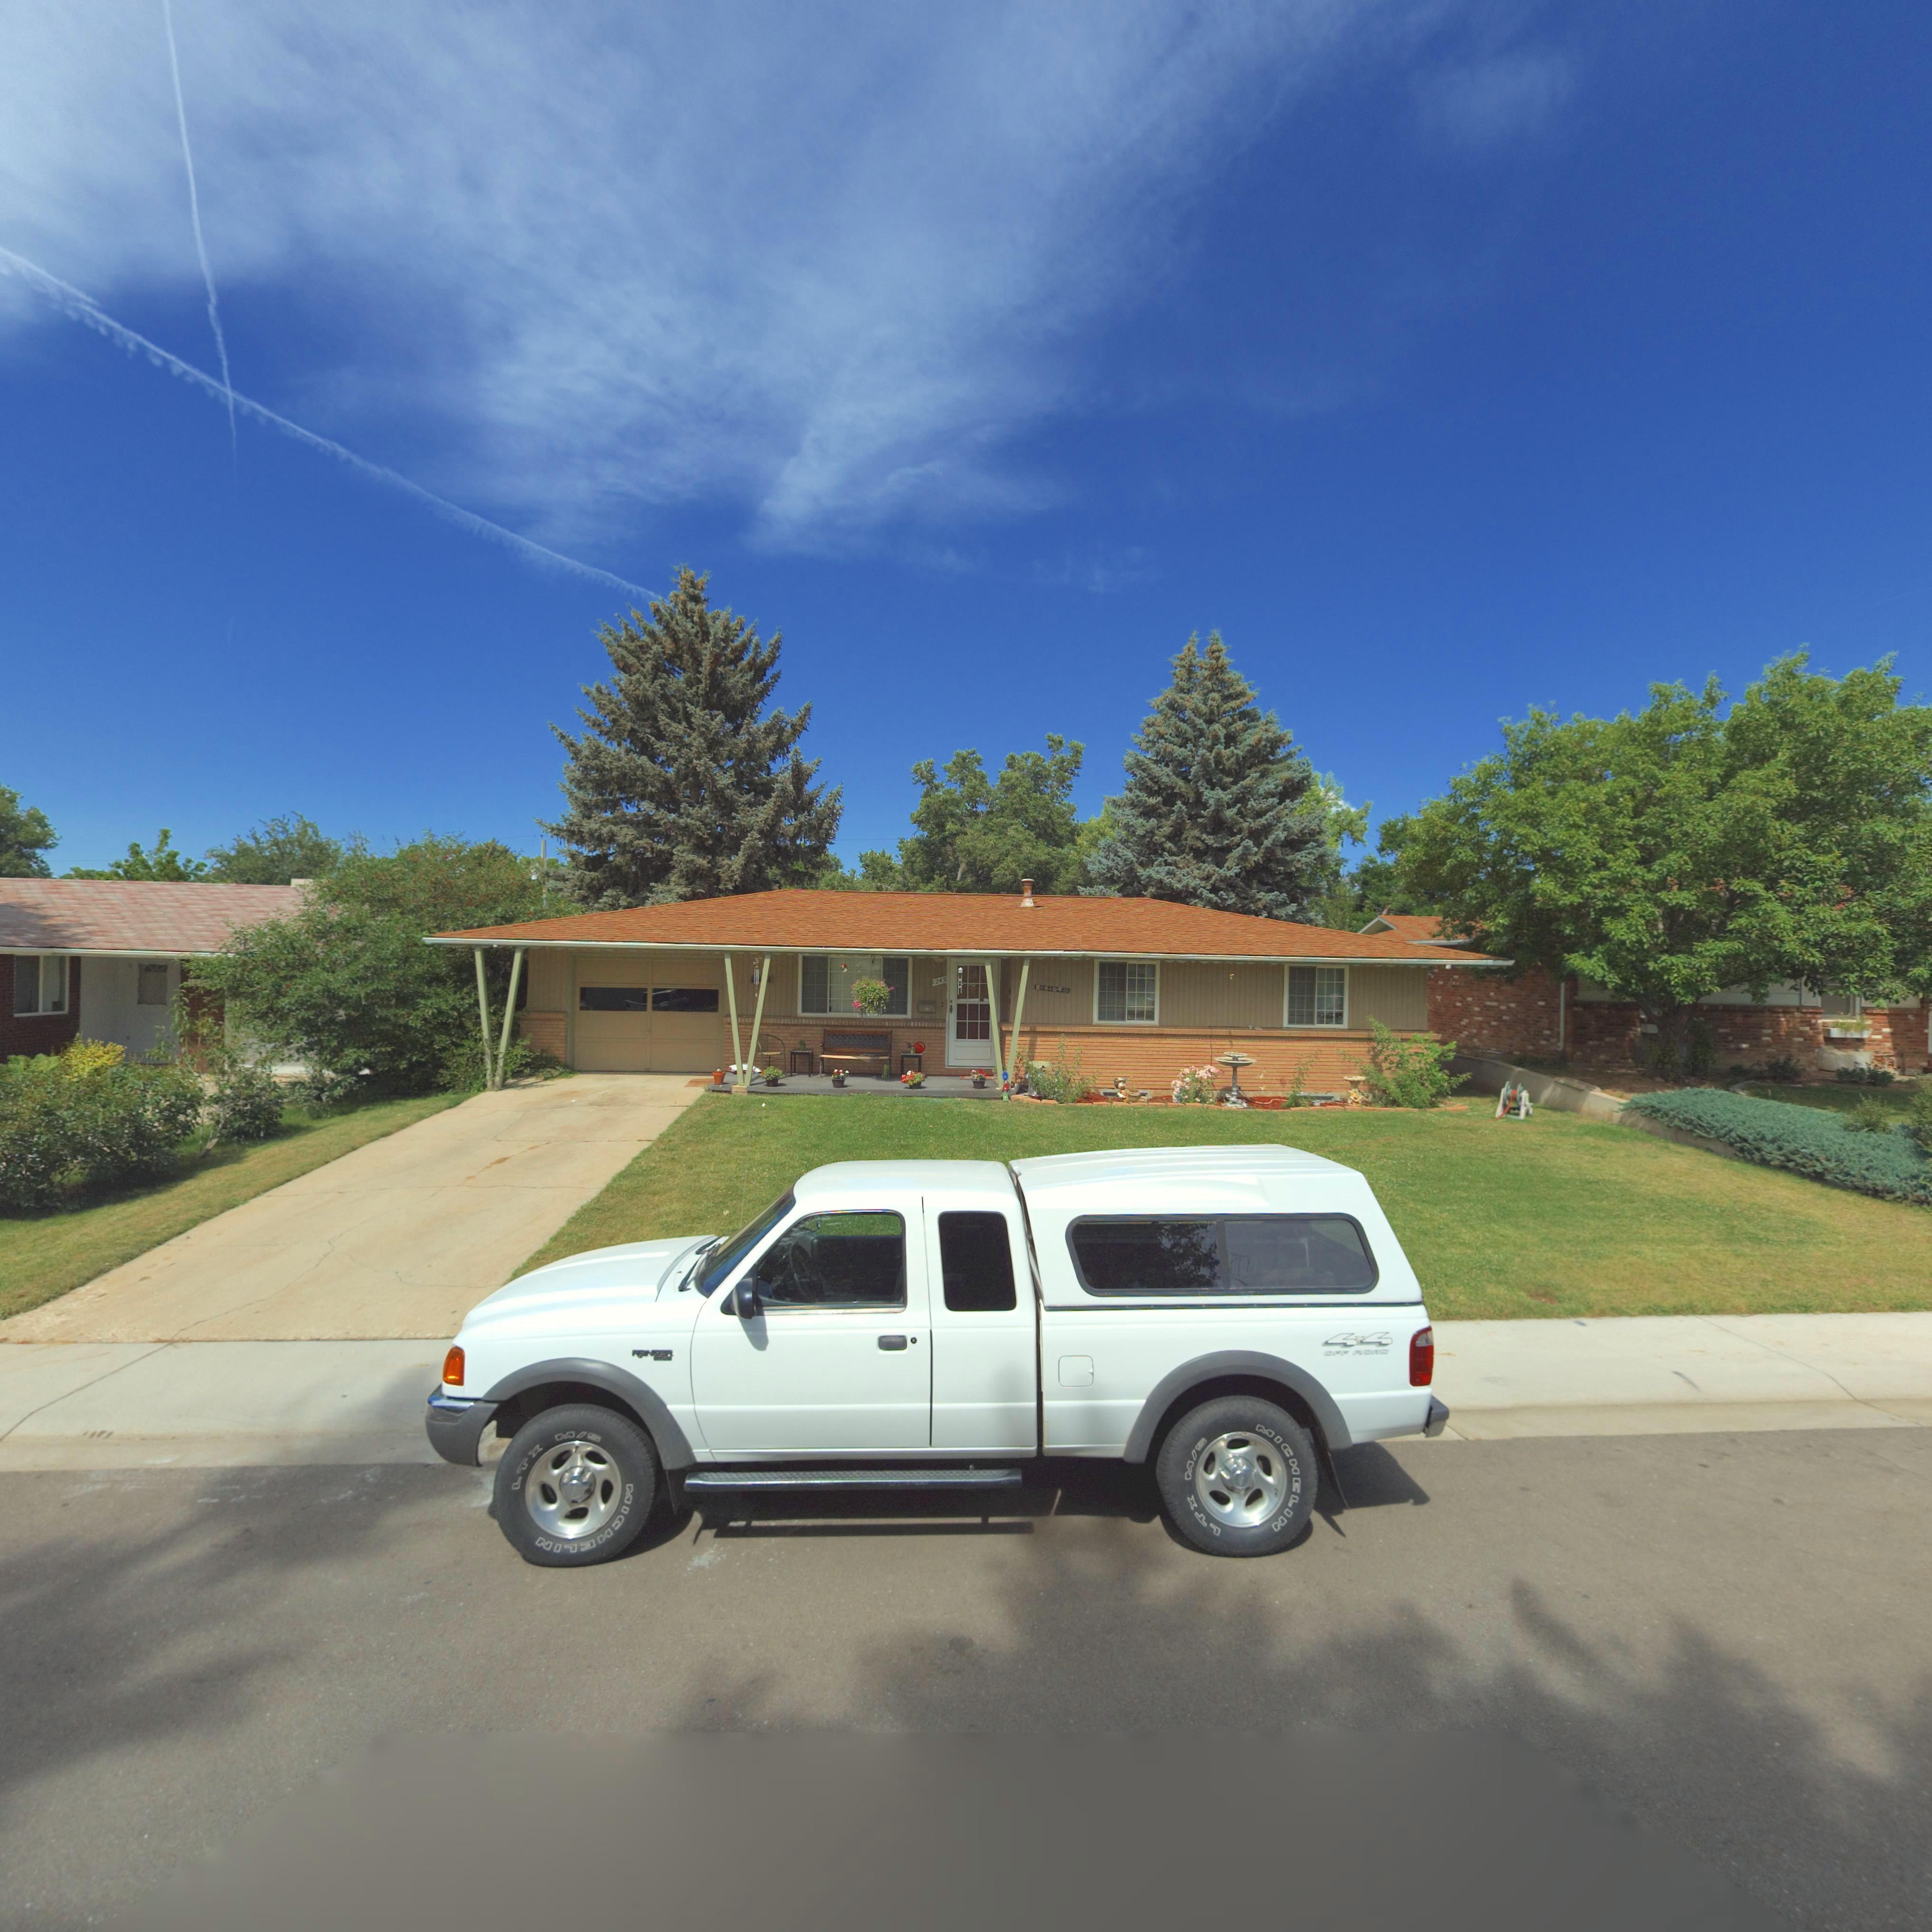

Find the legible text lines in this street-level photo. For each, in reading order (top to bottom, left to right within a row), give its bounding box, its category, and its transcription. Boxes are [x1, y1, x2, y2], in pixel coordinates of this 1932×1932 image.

[932, 976, 947, 985] StreetNumber: 1245